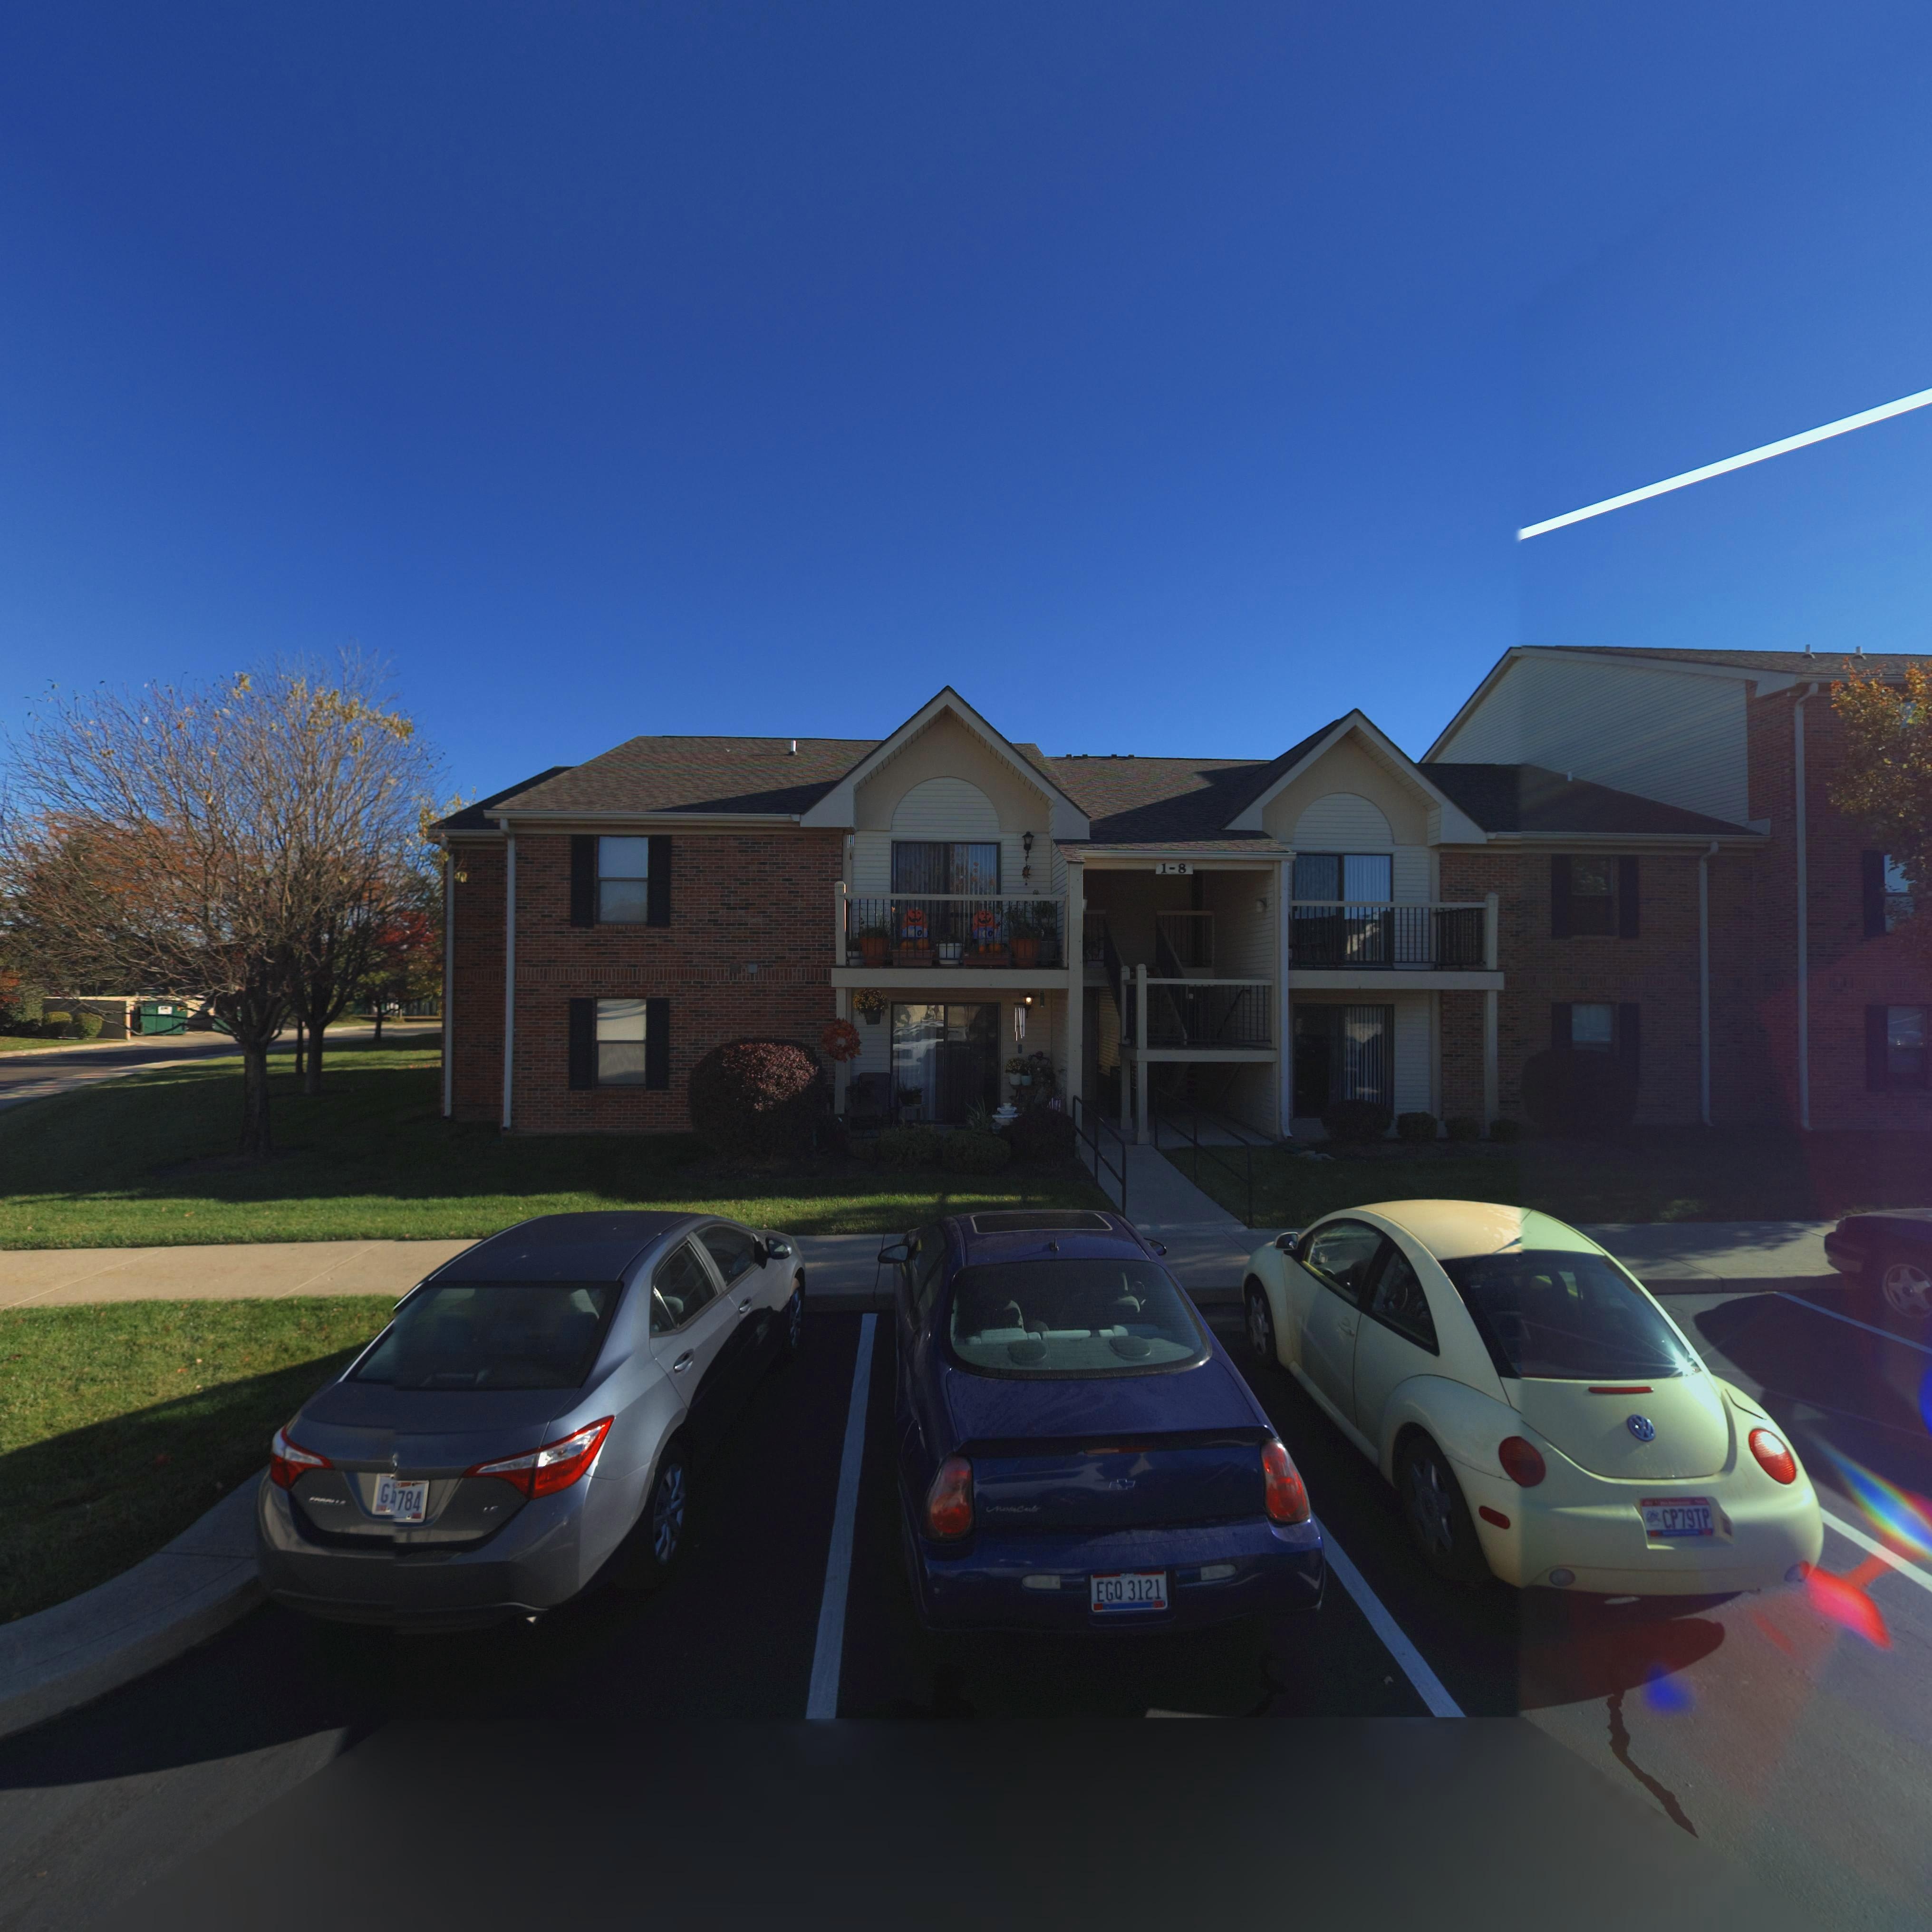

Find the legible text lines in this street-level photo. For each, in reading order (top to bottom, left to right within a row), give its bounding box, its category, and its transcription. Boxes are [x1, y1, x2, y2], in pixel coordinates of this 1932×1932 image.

[1160, 862, 1188, 874] StreetNumber: 1-8